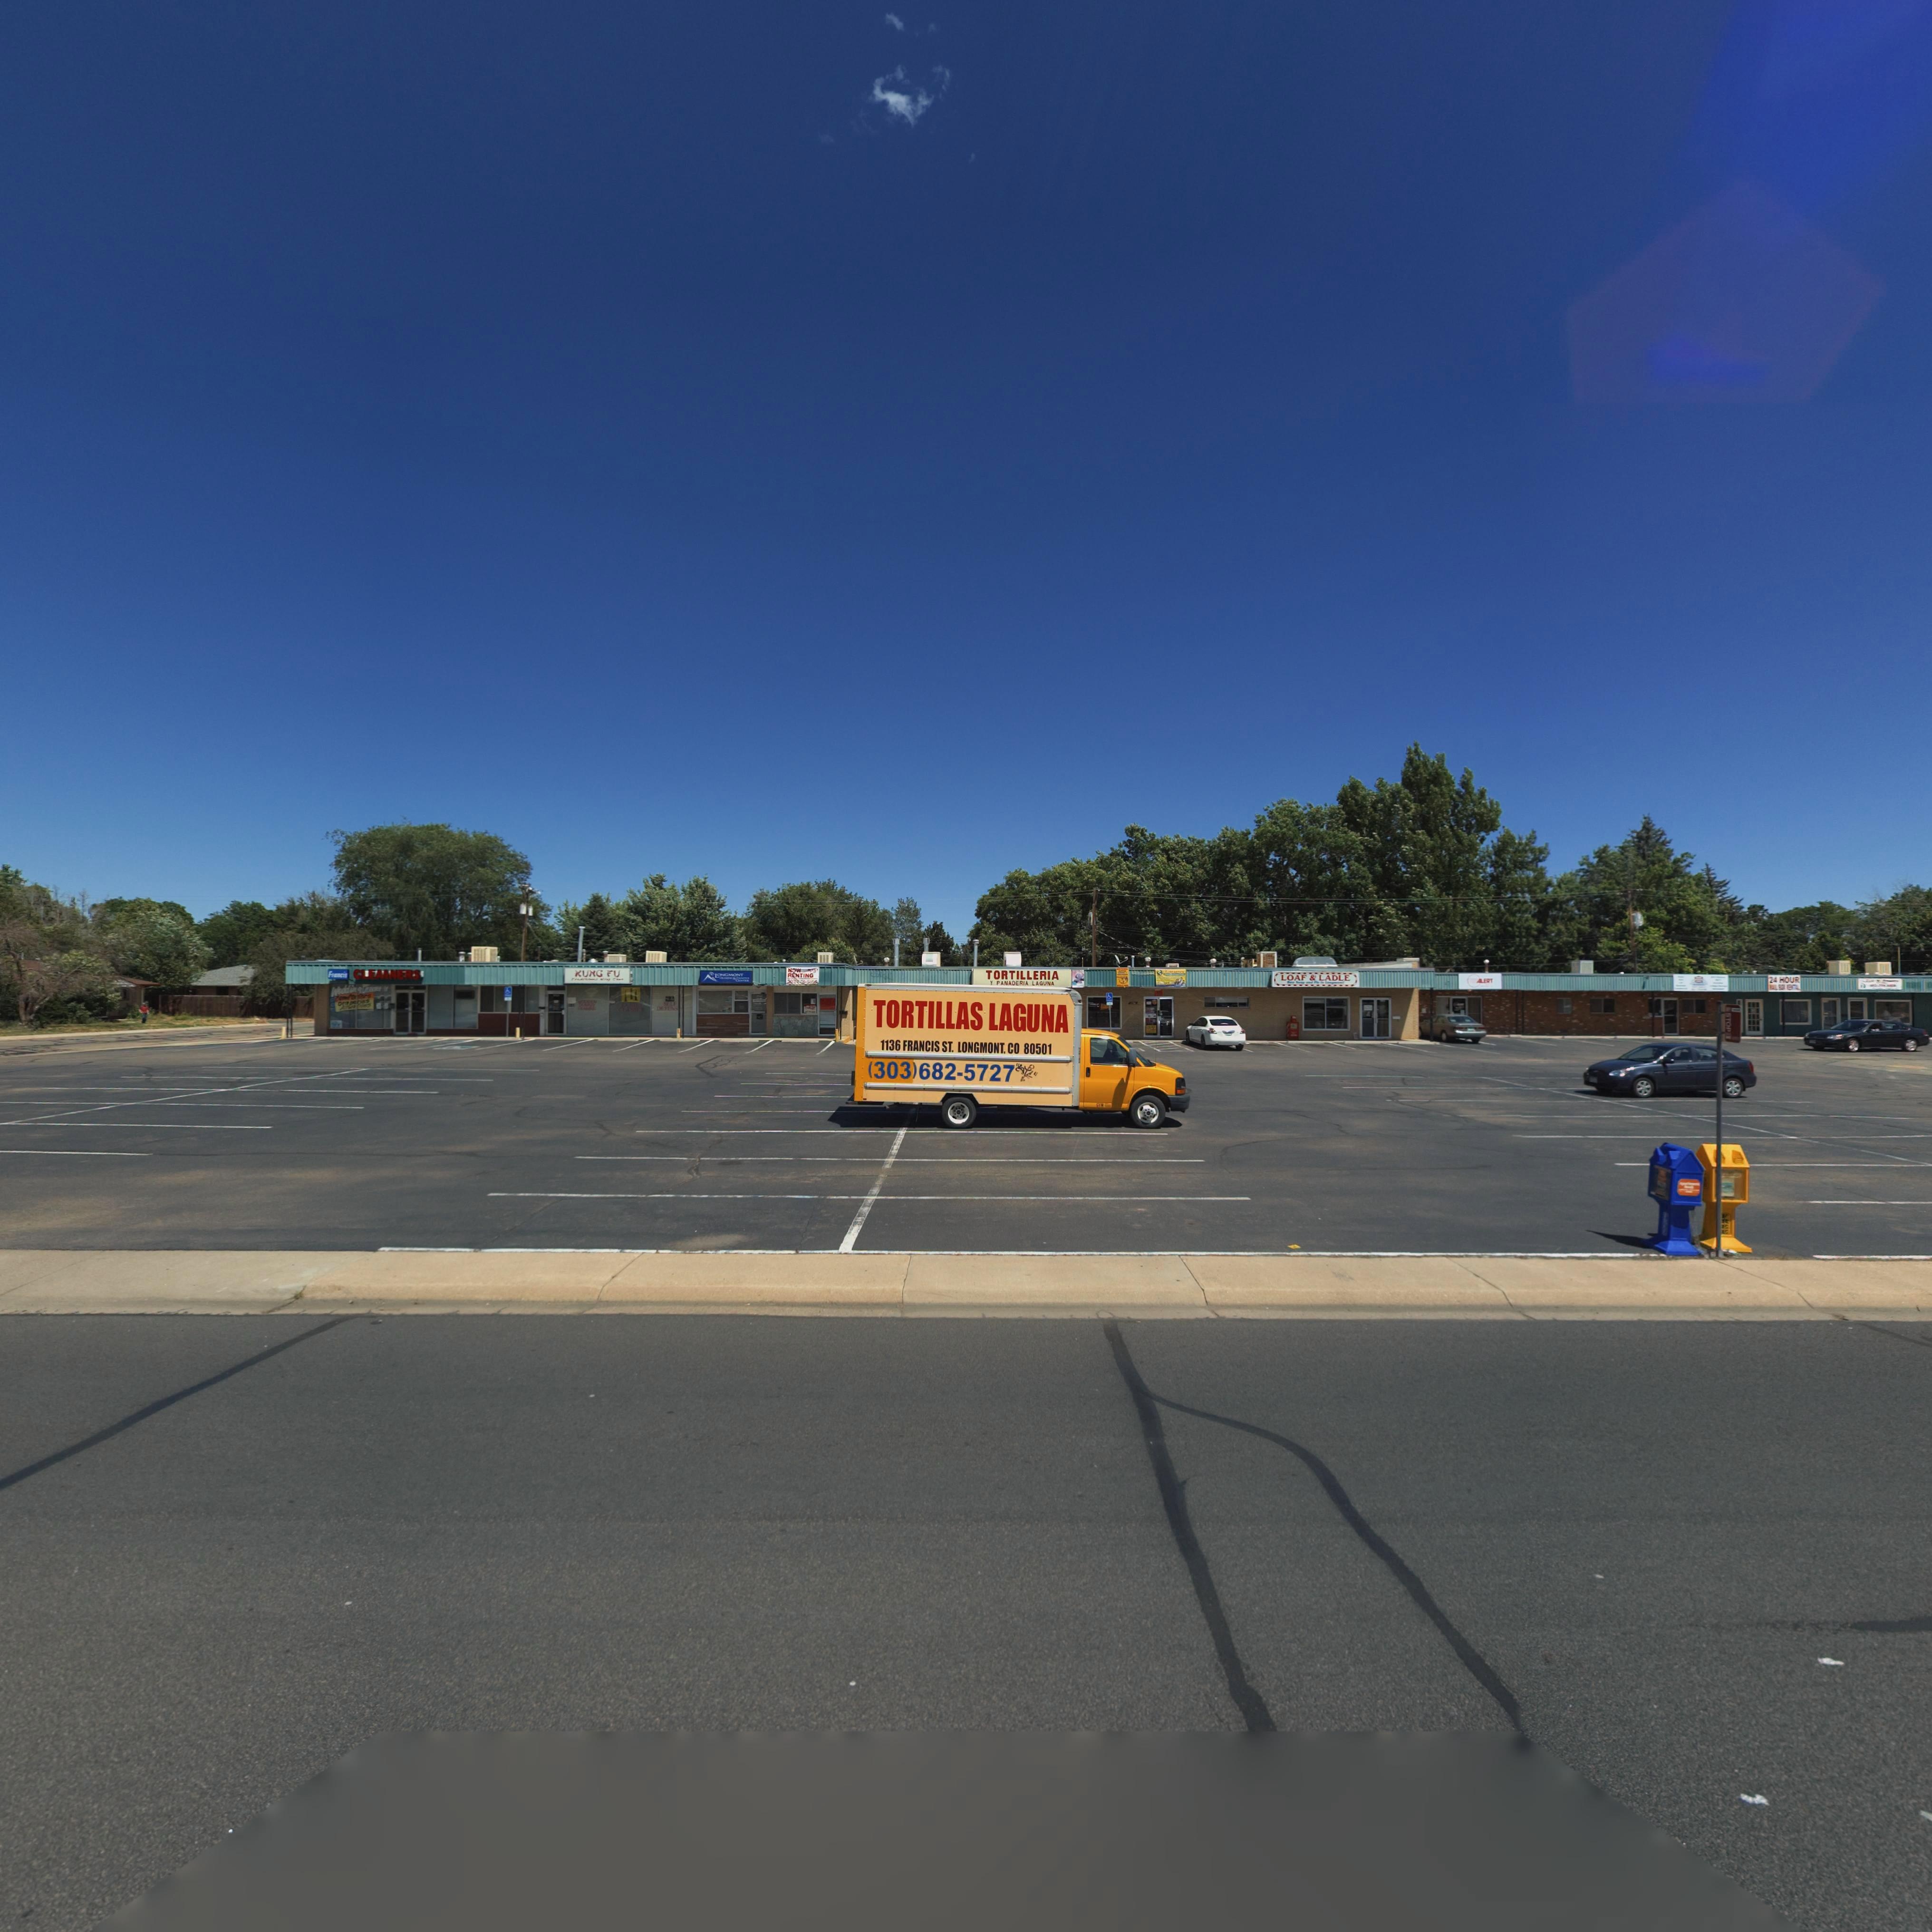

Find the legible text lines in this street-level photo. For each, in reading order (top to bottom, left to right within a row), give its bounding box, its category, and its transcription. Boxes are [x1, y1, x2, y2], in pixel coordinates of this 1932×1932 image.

[328, 971, 348, 977] BusinessName: F***cis
[353, 969, 421, 980] BusinessName: CLEANERS
[570, 977, 624, 981] BusinessName: T********** W*** C***
[574, 969, 620, 977] BusinessName: KUNG FU
[715, 973, 744, 978] BusinessName: L**GMONT
[989, 980, 1054, 985] BusinessName: Y PANADERIA LAGUNA
[986, 970, 1058, 979] BusinessName: TORTILLERIA
[1281, 975, 1350, 981] BusinessName: LOAF & LADLE
[1476, 978, 1493, 983] BusinessName: ALERT
[1769, 976, 1799, 983] BusinessName: 24 HOUR
[1769, 984, 1801, 990] BusinessName: ***L B** *E*T*L